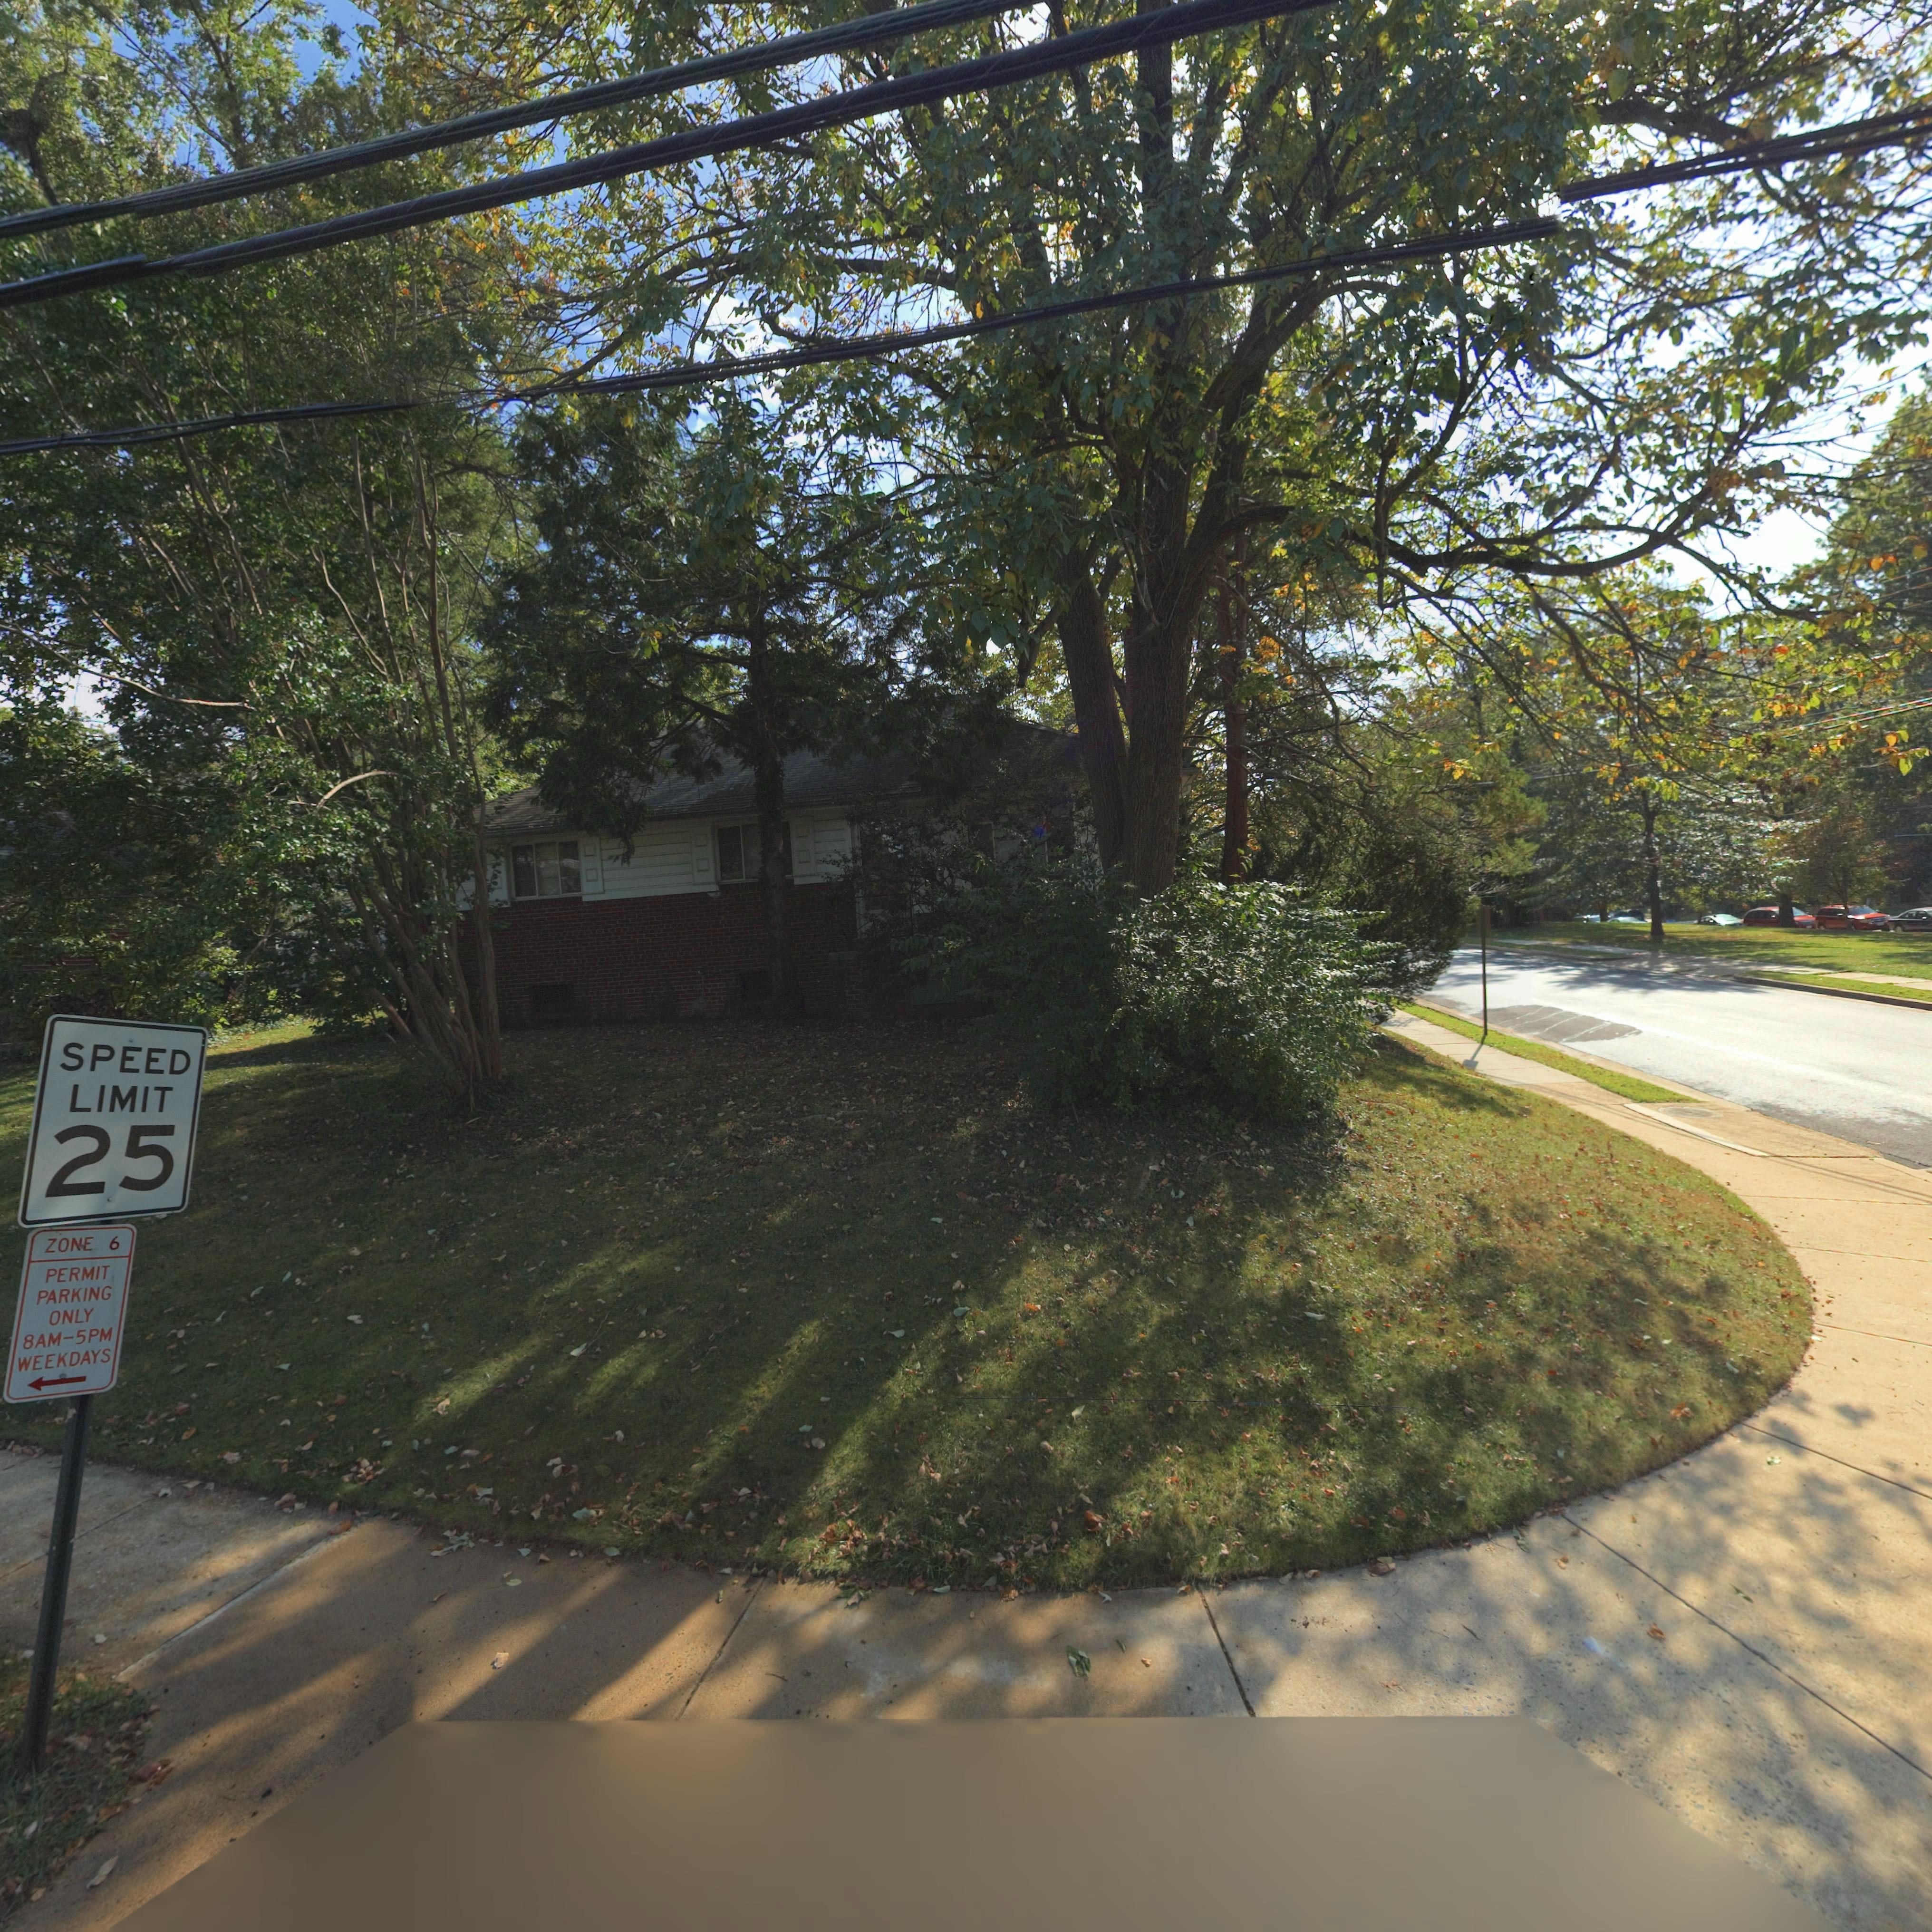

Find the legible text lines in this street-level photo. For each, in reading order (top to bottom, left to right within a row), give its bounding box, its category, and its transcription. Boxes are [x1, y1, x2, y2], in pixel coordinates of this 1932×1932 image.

[57, 1038, 193, 1078] None: SPEED
[67, 1082, 175, 1114] None: LIMIT
[41, 1122, 180, 1202] None: 25
[43, 1234, 122, 1255] None: ZONE 6
[42, 1263, 114, 1286] None: PERMIT
[34, 1283, 114, 1307] None: PARKING
[48, 1305, 97, 1328] None: ONLY
[20, 1324, 115, 1352] None: 8AM-5PM
[16, 1346, 113, 1373] None: WEEKDAYS